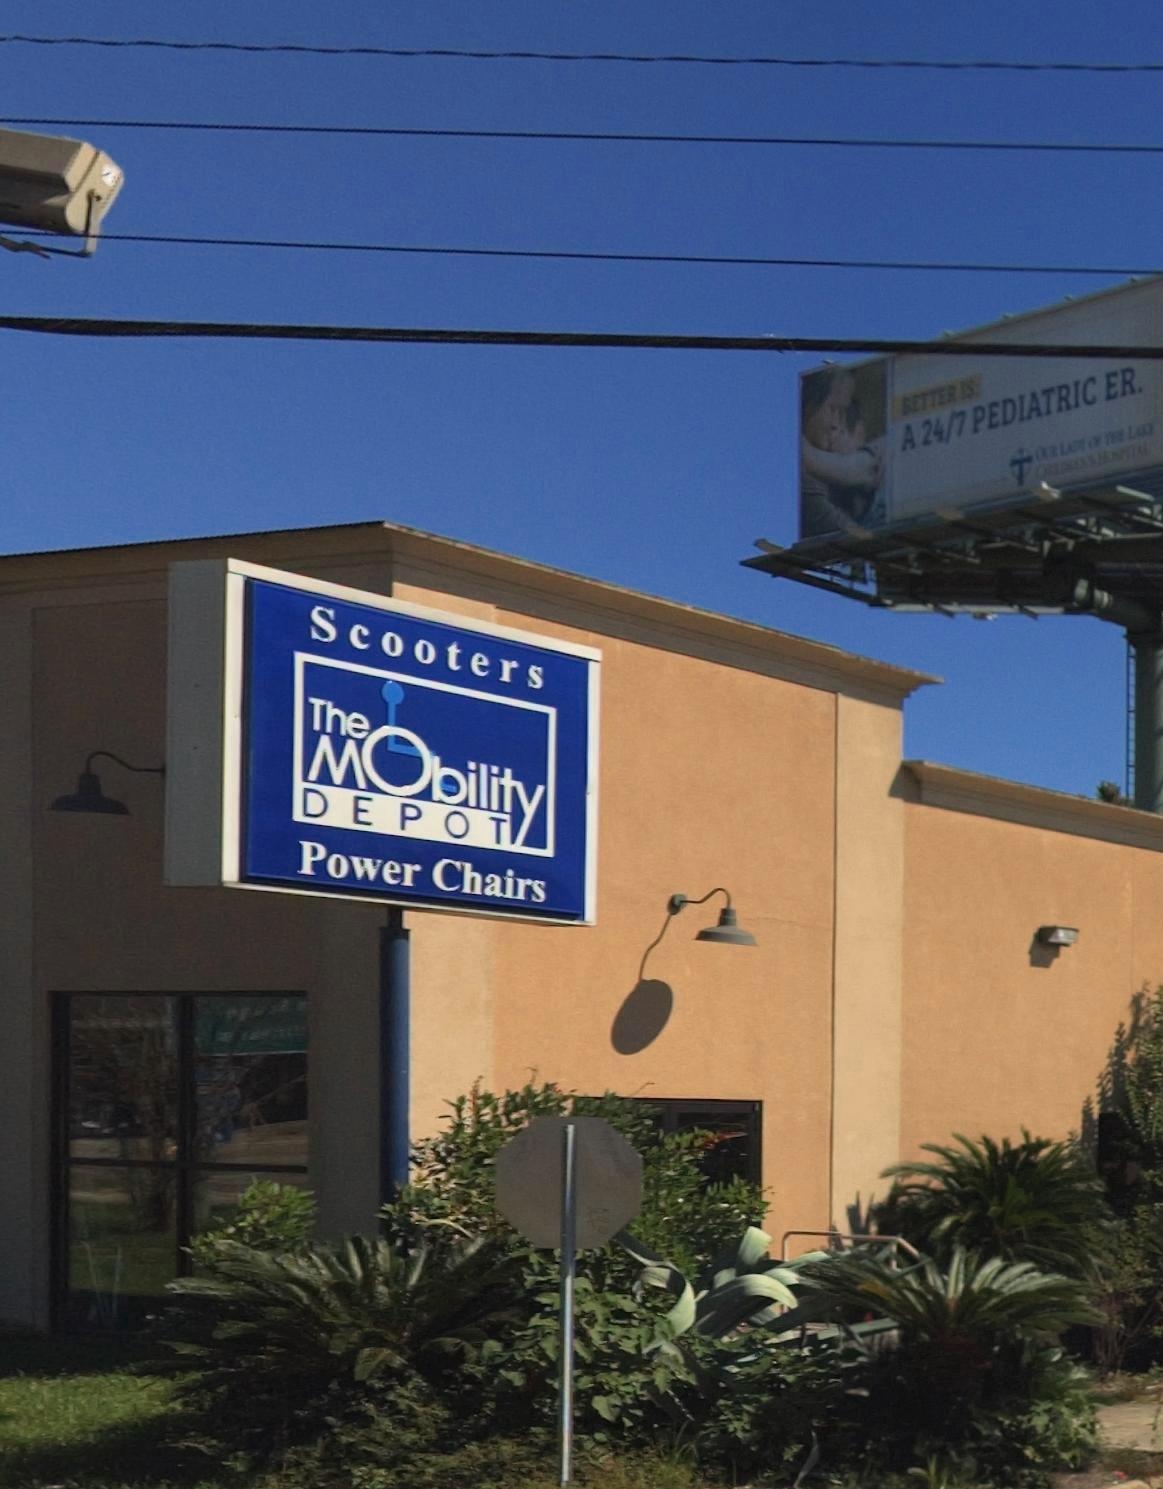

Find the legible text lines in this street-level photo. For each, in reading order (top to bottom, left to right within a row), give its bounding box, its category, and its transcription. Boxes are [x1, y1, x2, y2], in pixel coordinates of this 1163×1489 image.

[900, 377, 977, 419] None: BETTER IS:
[898, 363, 1146, 456] None: A 24/7 PEDIATRIC ER.
[305, 600, 547, 693] None: Scooters
[306, 694, 373, 742] BusinessName: The
[297, 784, 511, 849] BusinessName: DEPOT
[296, 722, 551, 849] BusinessName: MObility
[294, 837, 549, 905] None: Power Chairs